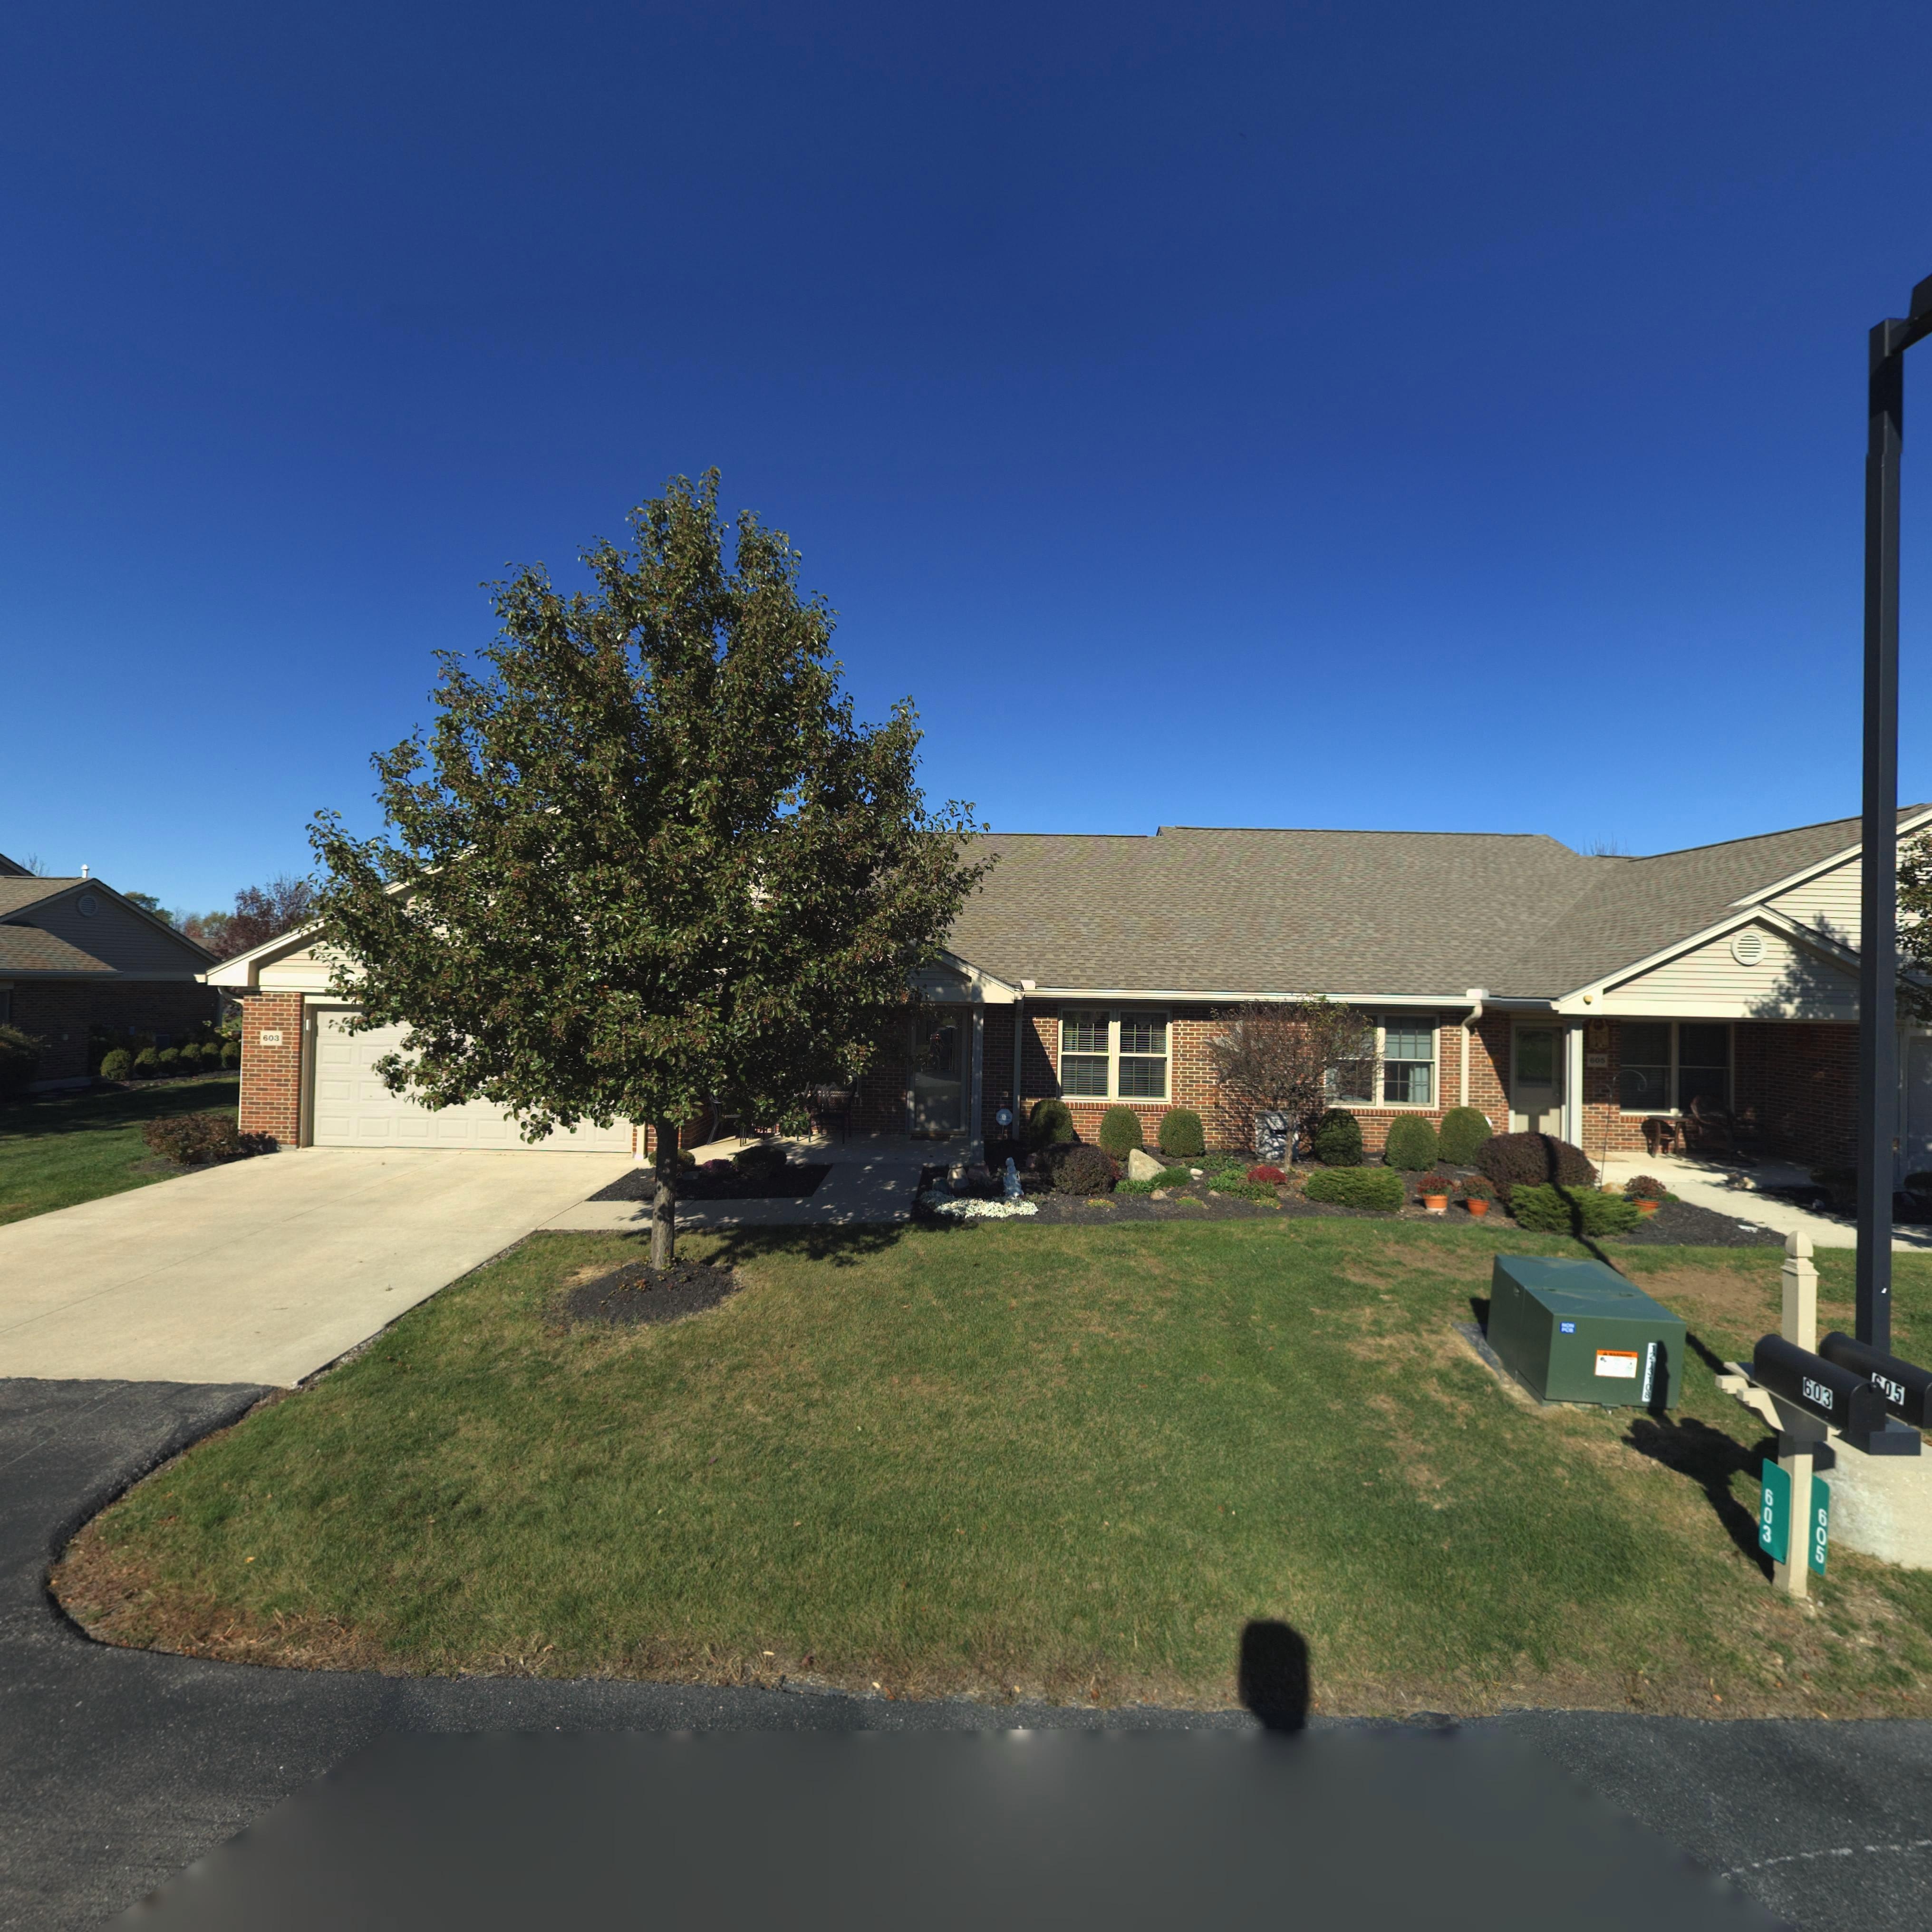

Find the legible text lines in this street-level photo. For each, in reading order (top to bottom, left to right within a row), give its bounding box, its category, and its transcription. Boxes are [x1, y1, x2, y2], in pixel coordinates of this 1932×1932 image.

[263, 1034, 280, 1042] StreetNumber: 603
[1589, 1057, 1605, 1063] StreetNumber: 605
[1804, 1377, 1832, 1409] StreetNumber: 603
[1873, 1373, 1903, 1405] StreetNumber: *05
[1761, 1487, 1775, 1546] StreetNumber: 603
[1814, 1506, 1828, 1566] StreetNumber: 605